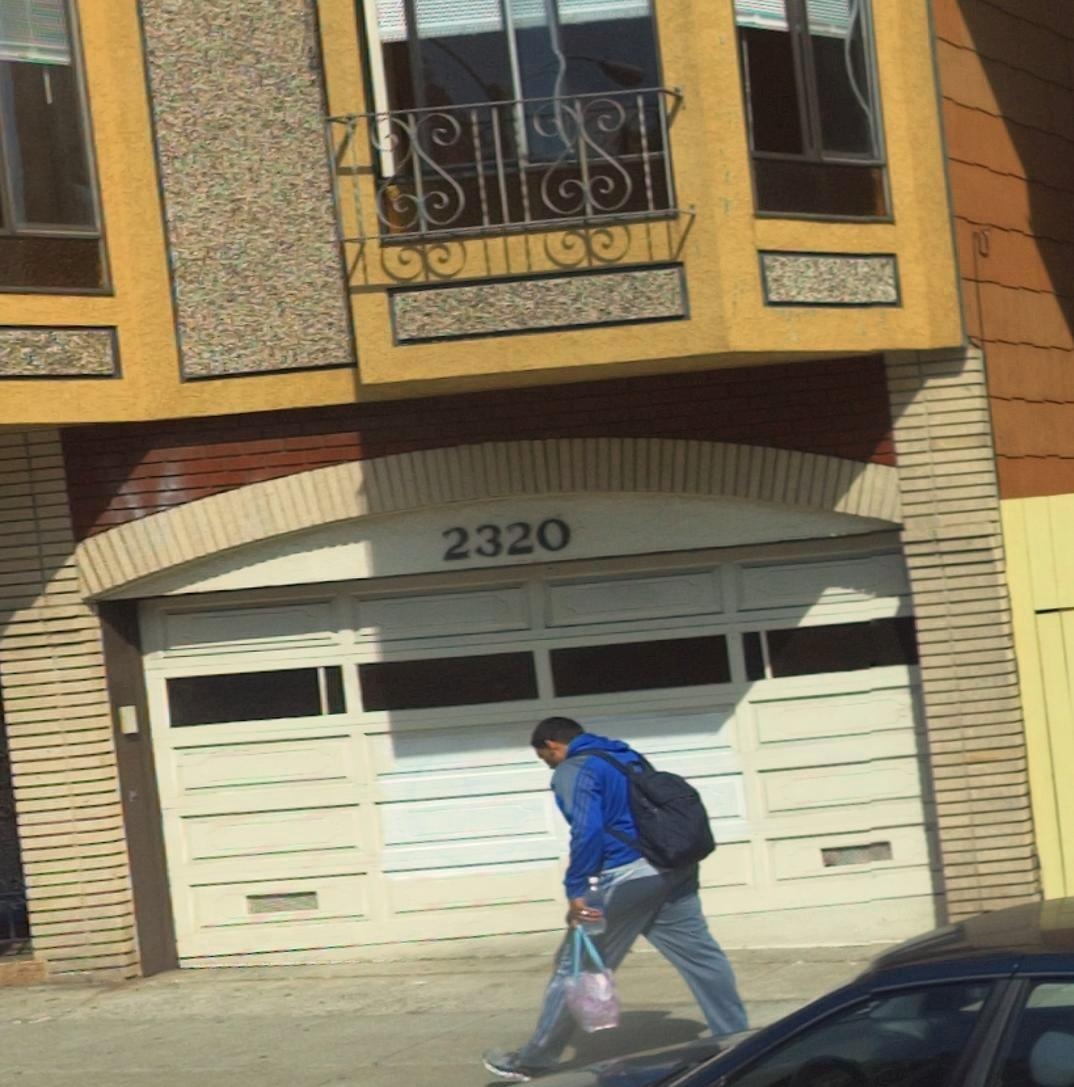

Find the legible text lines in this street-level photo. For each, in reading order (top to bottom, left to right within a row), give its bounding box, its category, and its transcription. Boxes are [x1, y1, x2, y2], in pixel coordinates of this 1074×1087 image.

[436, 514, 575, 564] StreetNumber: 2320